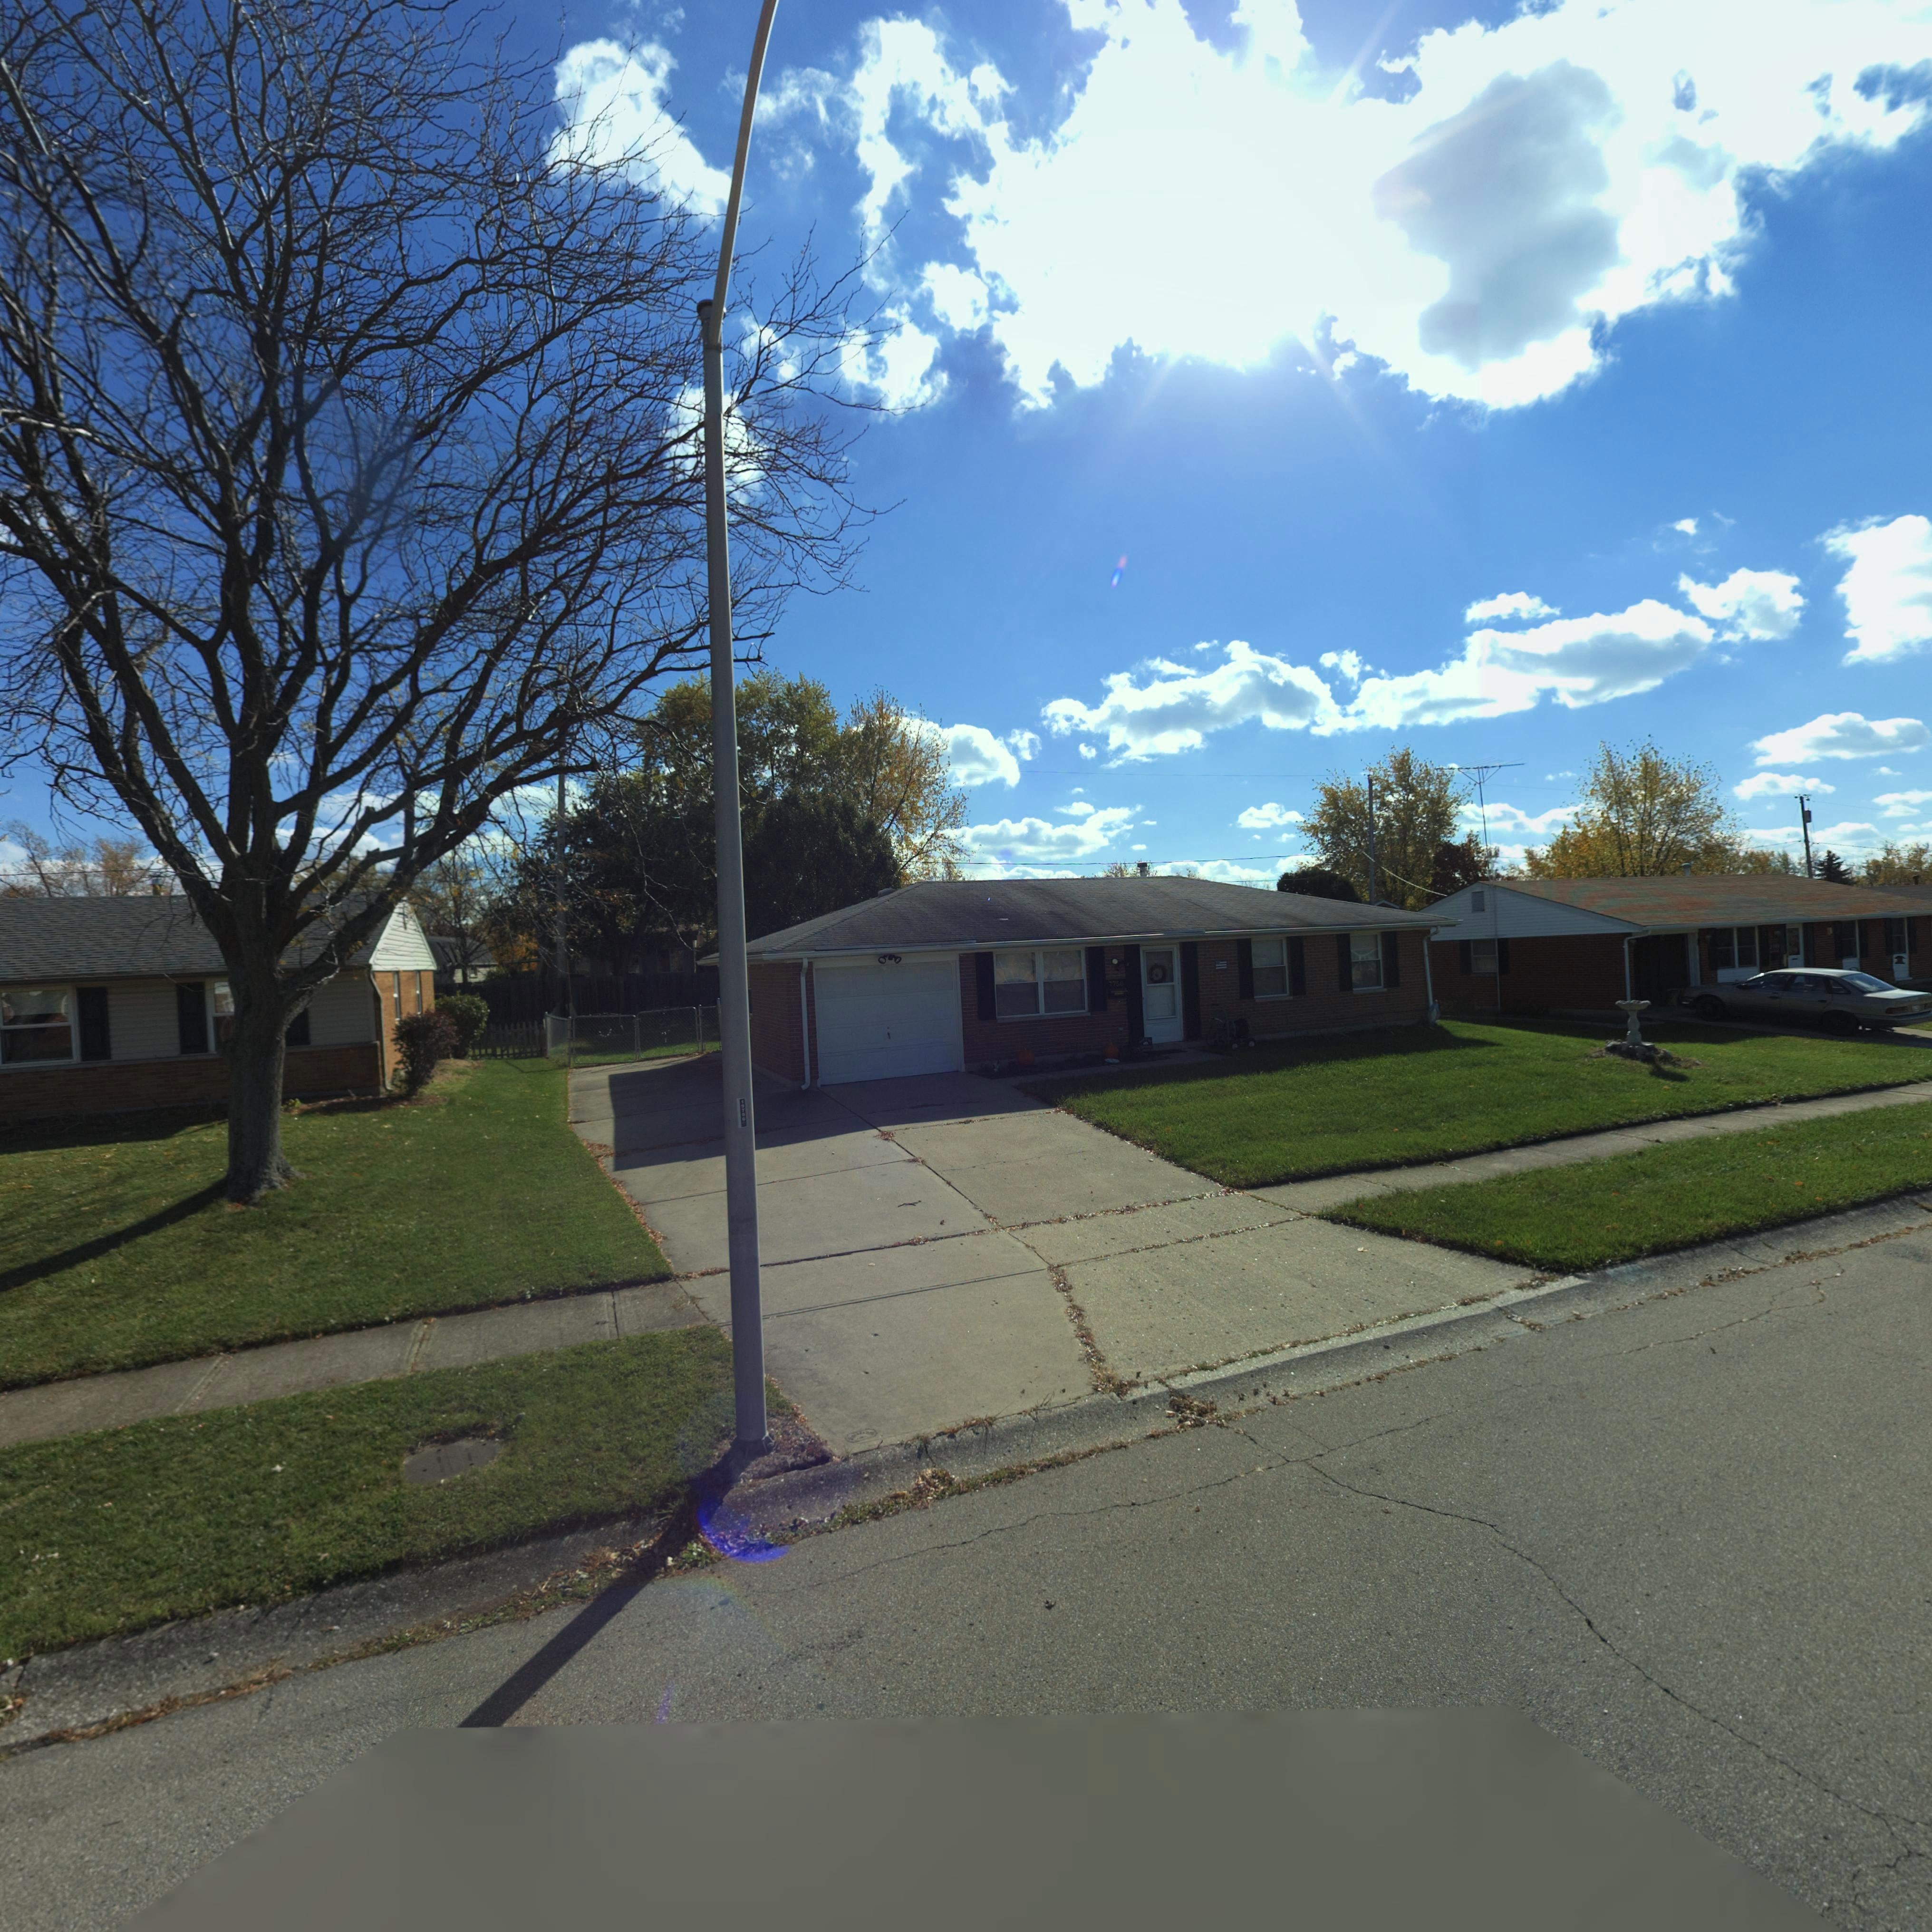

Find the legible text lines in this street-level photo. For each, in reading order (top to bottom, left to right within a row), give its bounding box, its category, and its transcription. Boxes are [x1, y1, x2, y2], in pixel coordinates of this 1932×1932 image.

[1108, 980, 1124, 988] StreetNumber: 7750